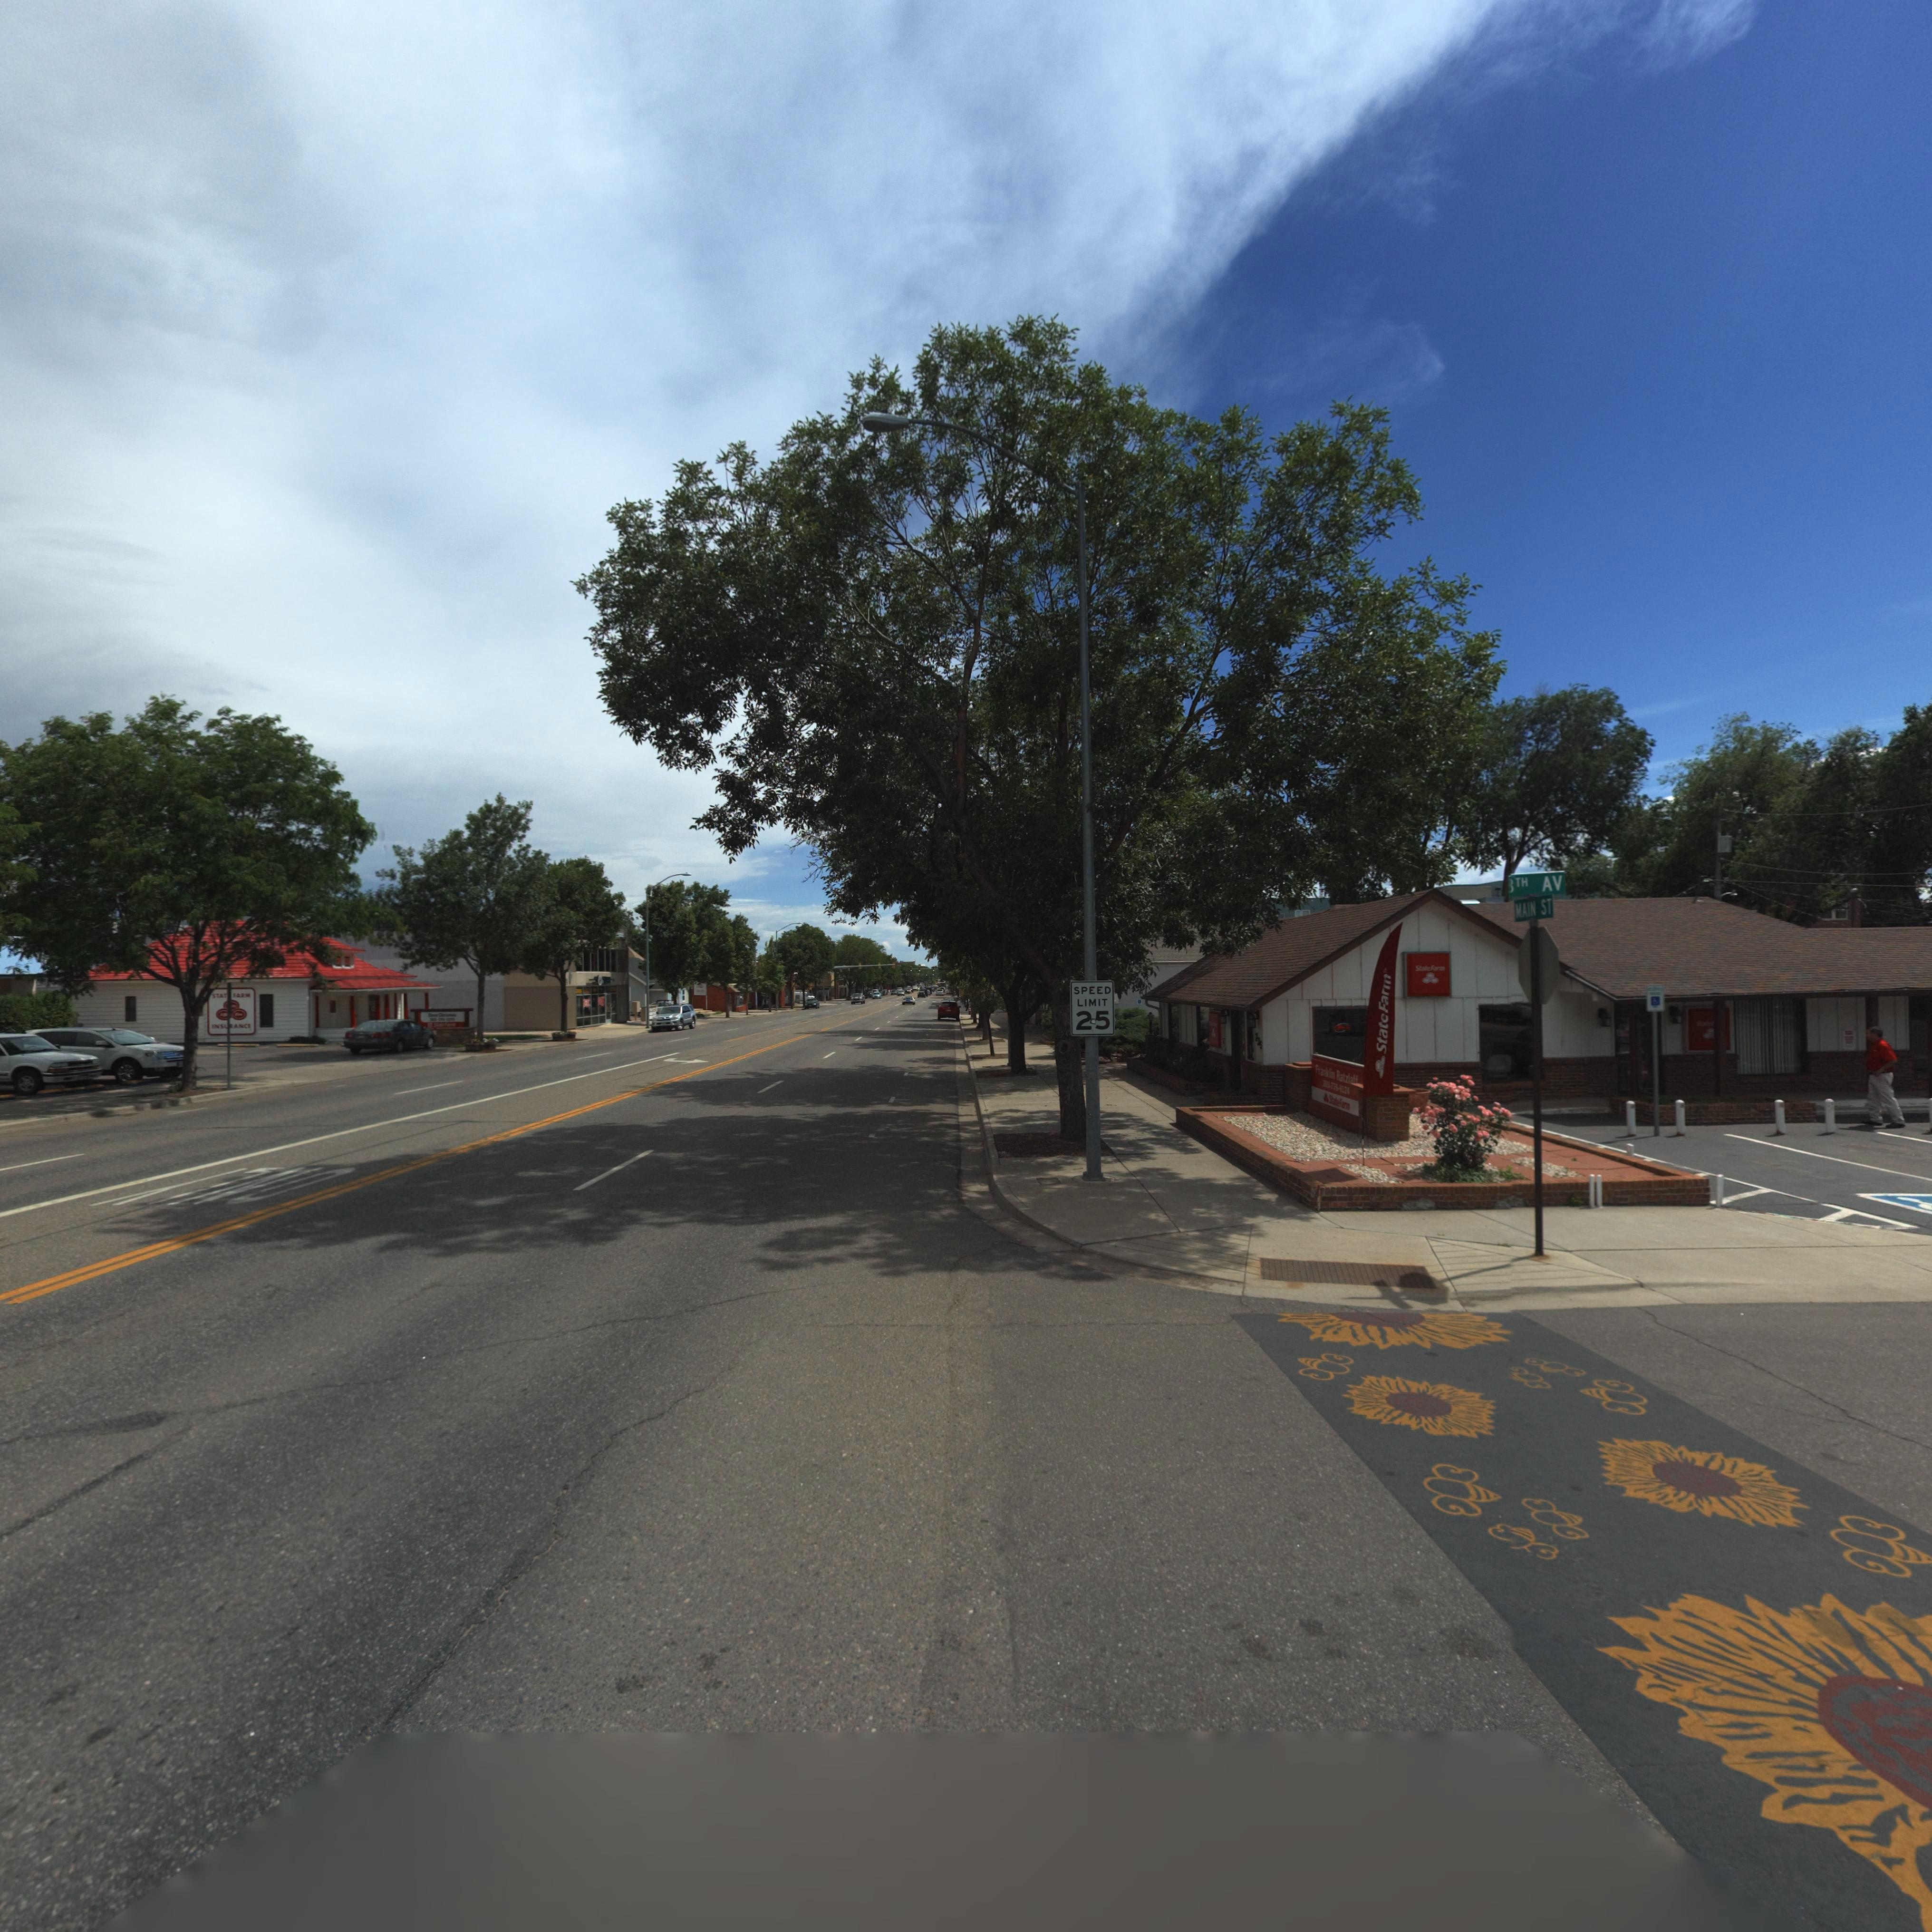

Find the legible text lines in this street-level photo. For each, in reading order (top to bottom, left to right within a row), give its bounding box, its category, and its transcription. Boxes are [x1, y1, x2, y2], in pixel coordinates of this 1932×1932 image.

[1514, 874, 1563, 892] StreetName: TH AV
[1514, 898, 1552, 919] StreetName: MAIN ST
[1415, 965, 1445, 971] BusinessName: State Farm
[211, 992, 251, 998] BusinessName: STAT* FARM
[1376, 973, 1391, 1054] BusinessName: State Farm
[210, 1023, 251, 1029] BusinessName: INS**ANCE
[433, 1022, 457, 1028] BusinessName: State Farm
[1696, 1020, 1712, 1027] BusinessName: State
[1254, 1032, 1263, 1050] StreetNumber: 735
[1328, 1093, 1351, 1111] BusinessName: State Farm